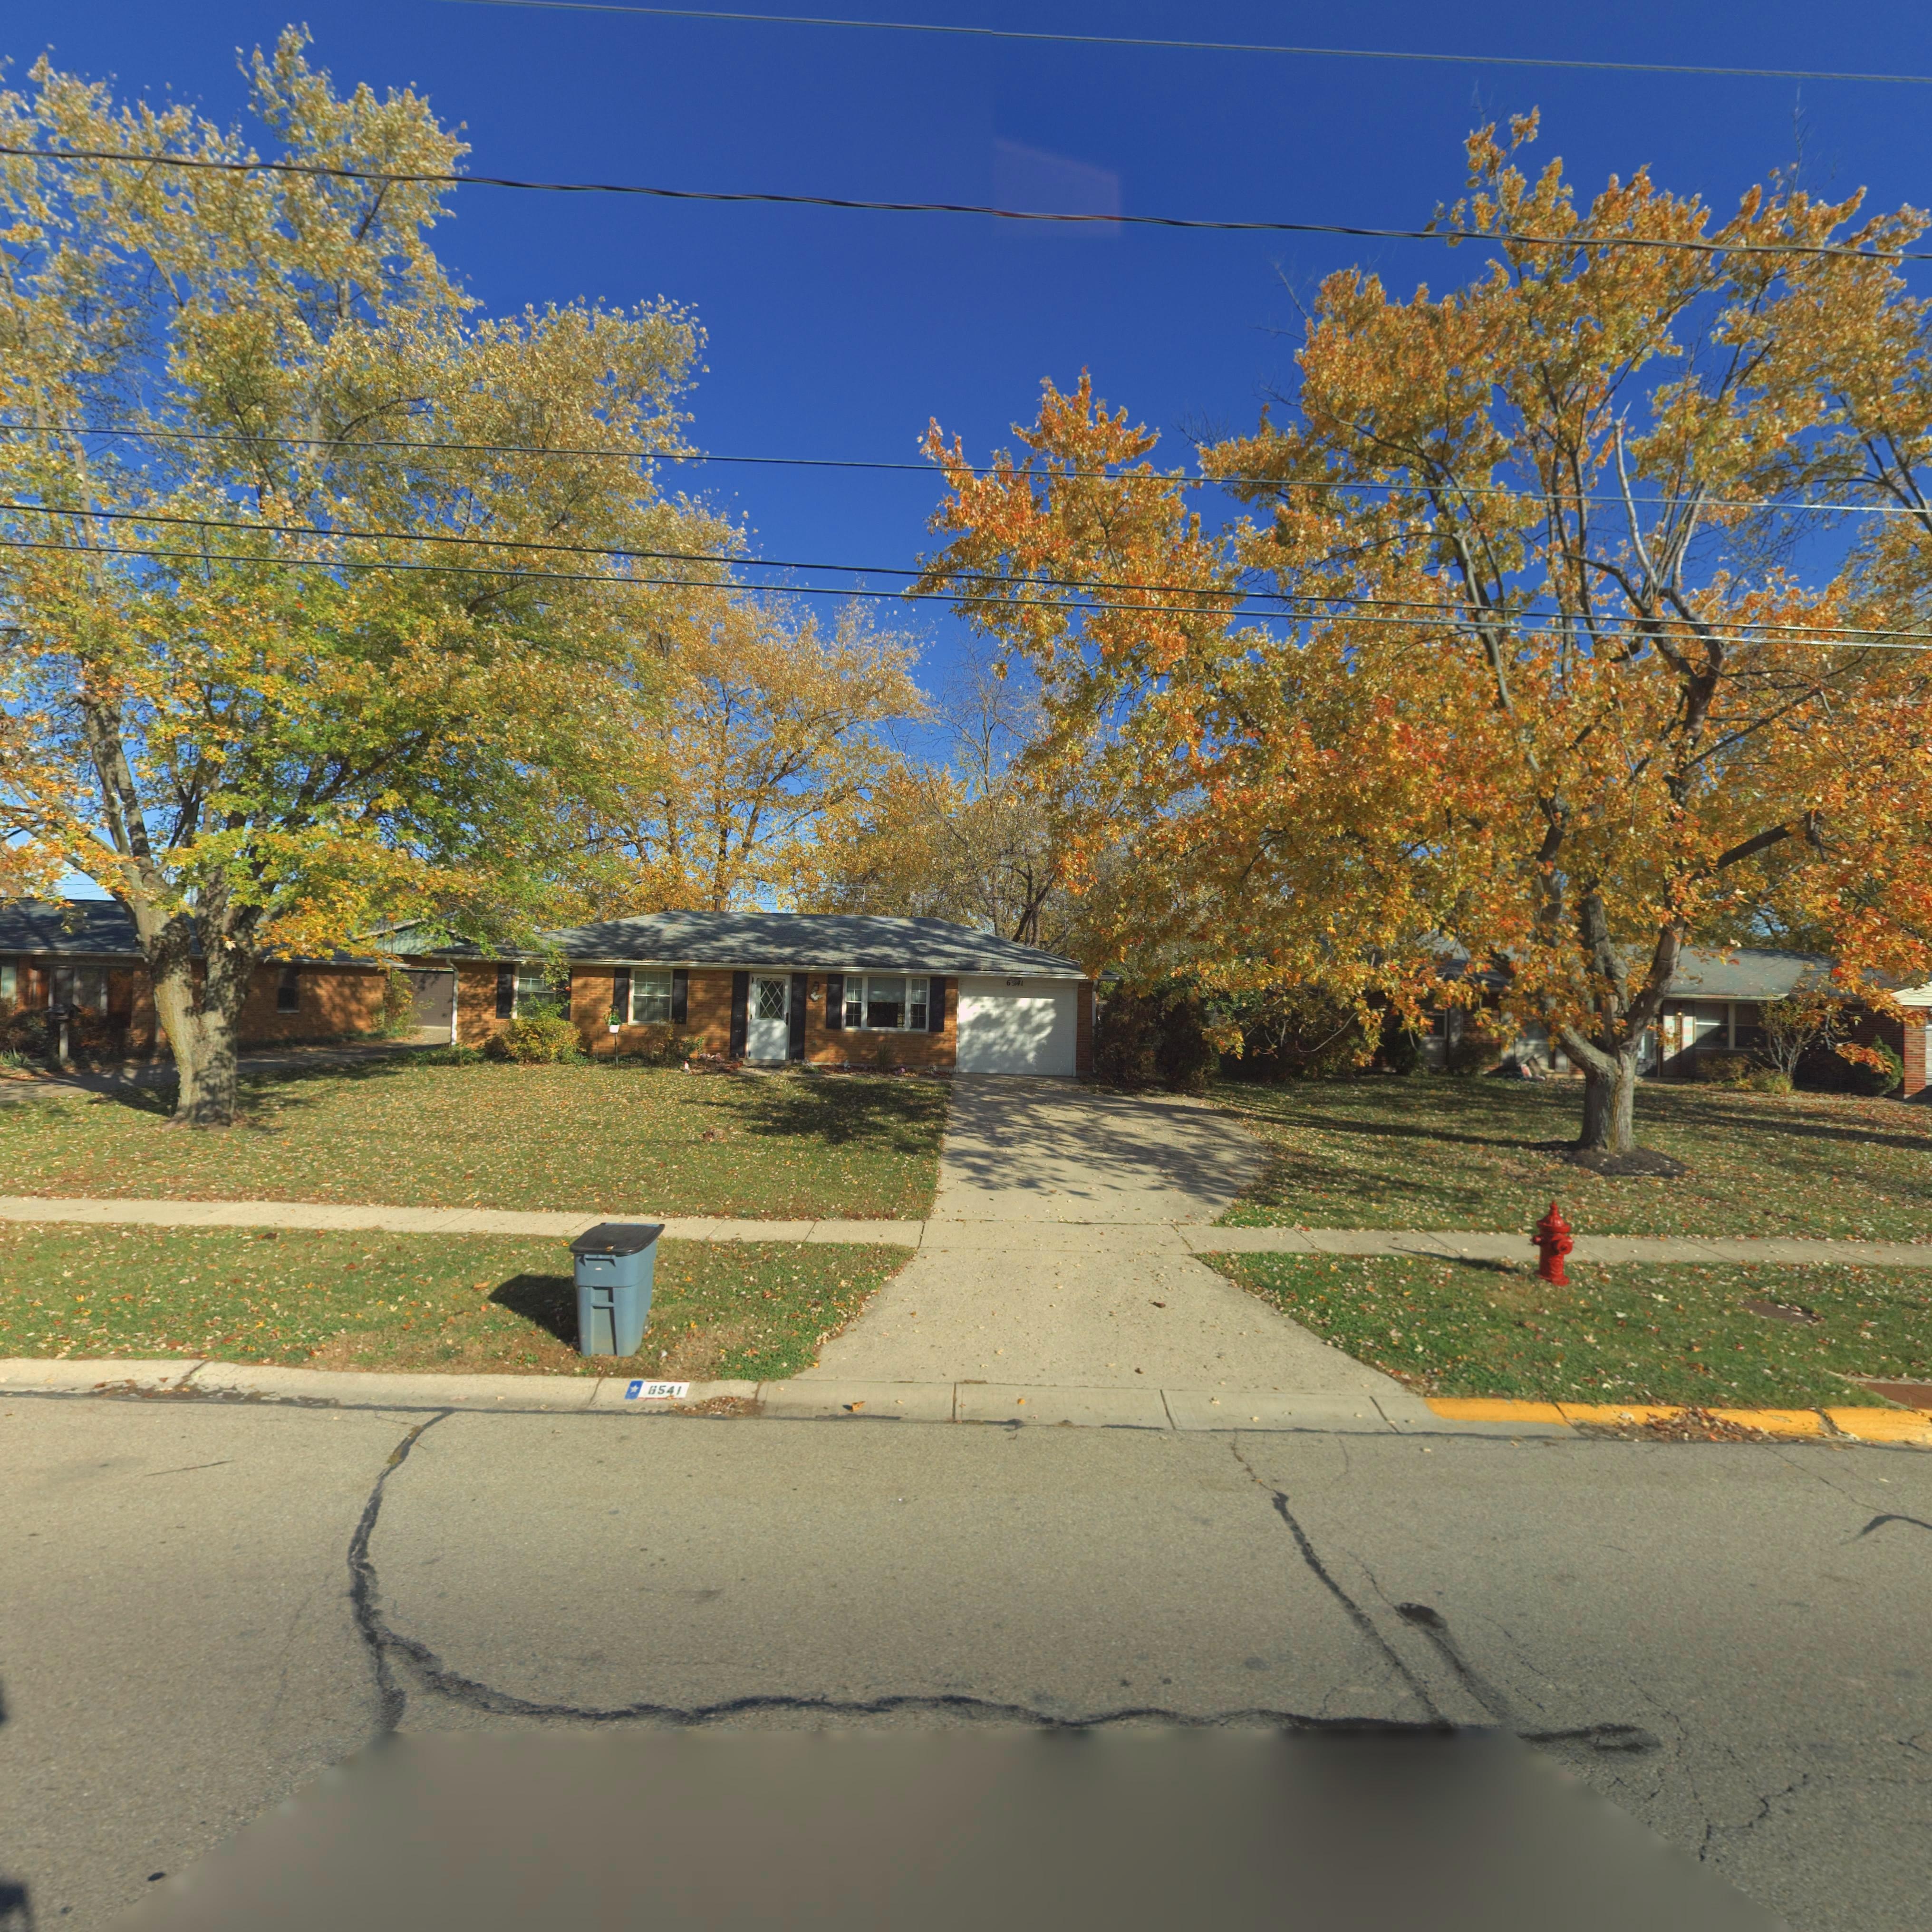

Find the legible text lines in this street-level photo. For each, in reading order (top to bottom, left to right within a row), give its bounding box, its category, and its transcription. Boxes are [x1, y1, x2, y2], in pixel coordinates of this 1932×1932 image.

[1005, 978, 1025, 987] StreetNumber: 6**1
[646, 1384, 684, 1396] StreetNumber: 6541